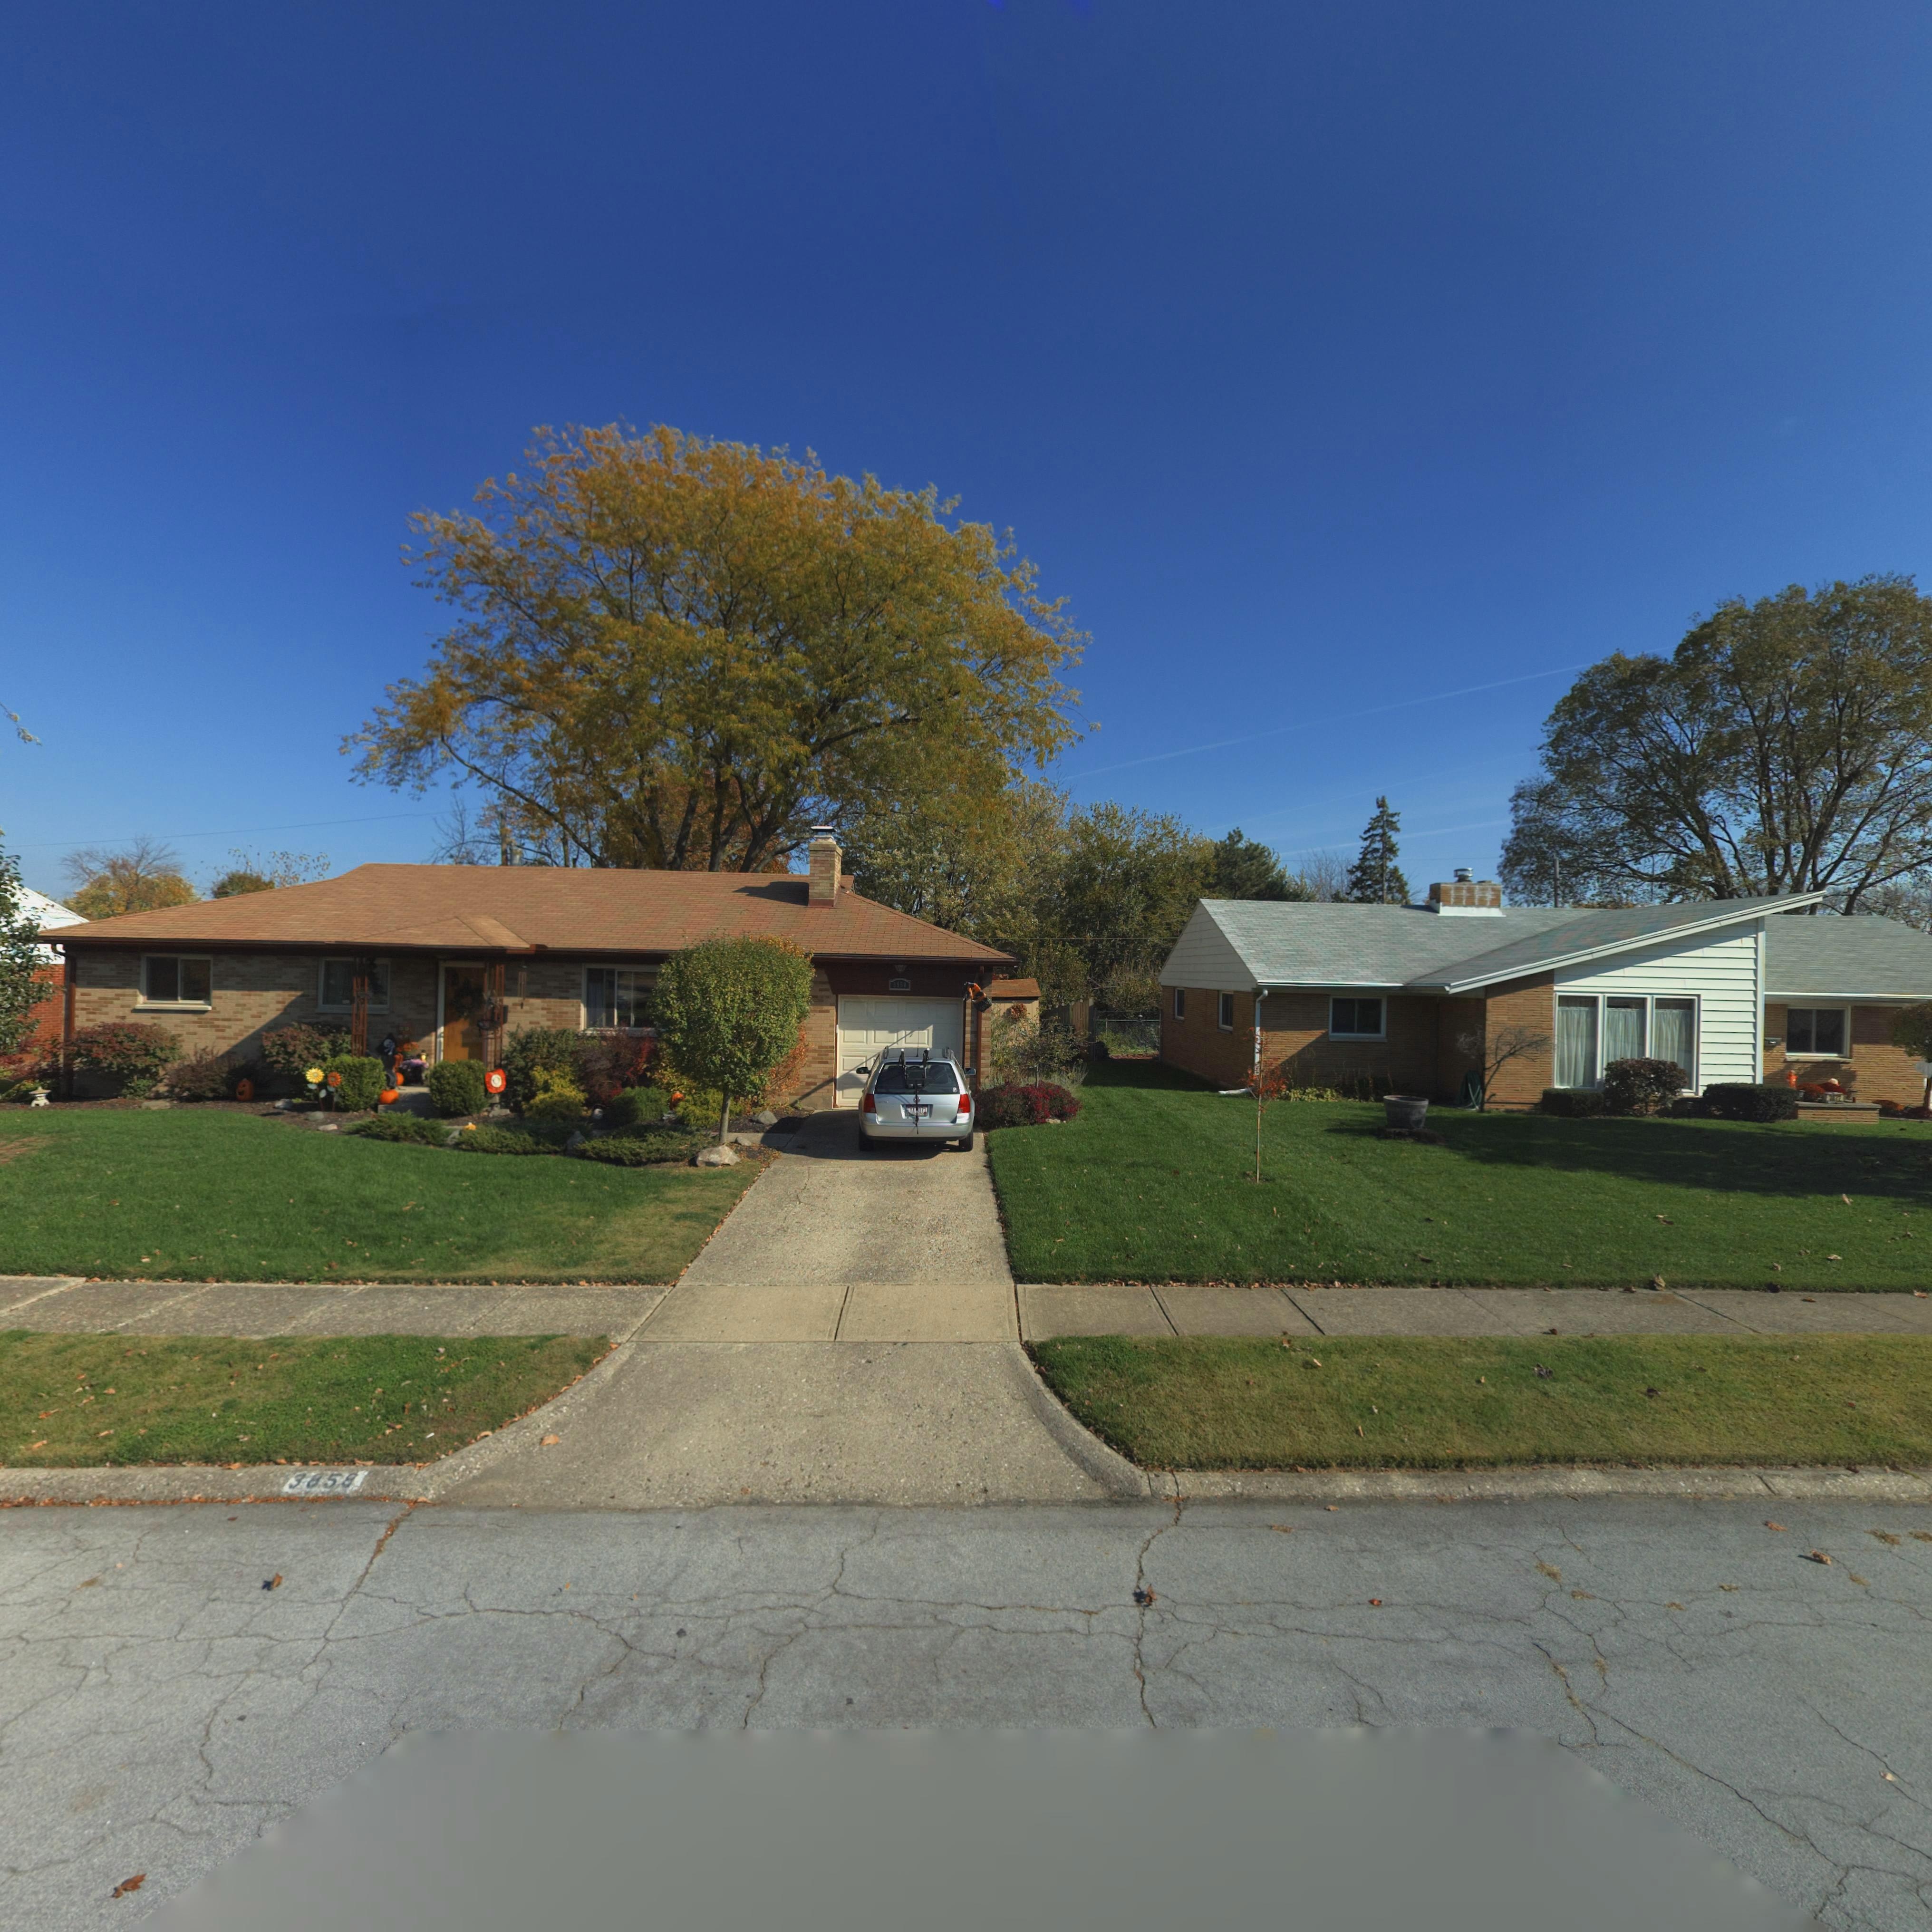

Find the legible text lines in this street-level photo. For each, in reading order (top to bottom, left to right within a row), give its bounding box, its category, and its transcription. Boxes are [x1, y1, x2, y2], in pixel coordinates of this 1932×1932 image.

[893, 982, 907, 988] StreetNumber: 3858
[284, 1472, 360, 1489] StreetNumber: 3858